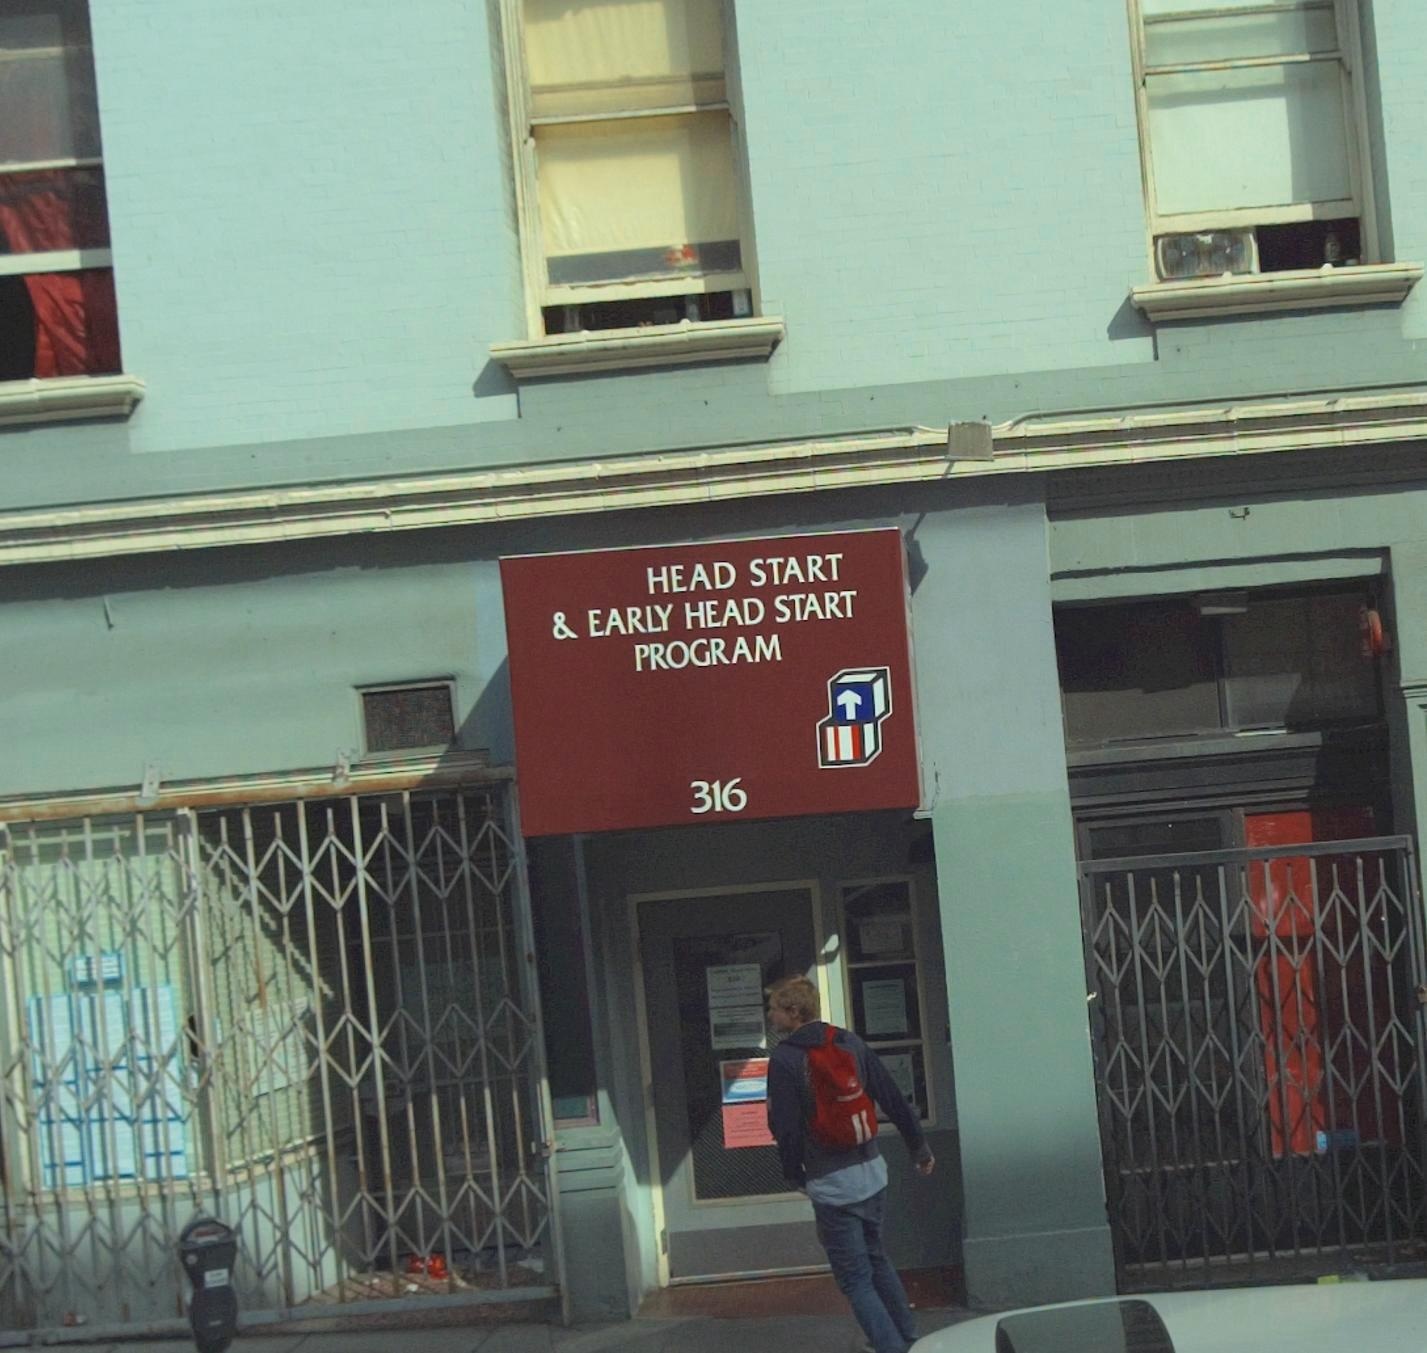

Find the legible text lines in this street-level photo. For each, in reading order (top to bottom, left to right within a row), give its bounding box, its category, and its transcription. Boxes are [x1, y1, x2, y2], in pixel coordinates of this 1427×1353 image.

[643, 550, 848, 598] BusinessName: HEAD START
[585, 587, 861, 641] BusinessName: EARLY HEAD START
[631, 630, 786, 676] BusinessName: PROGRAM
[687, 774, 751, 817] StreetNumber: 316